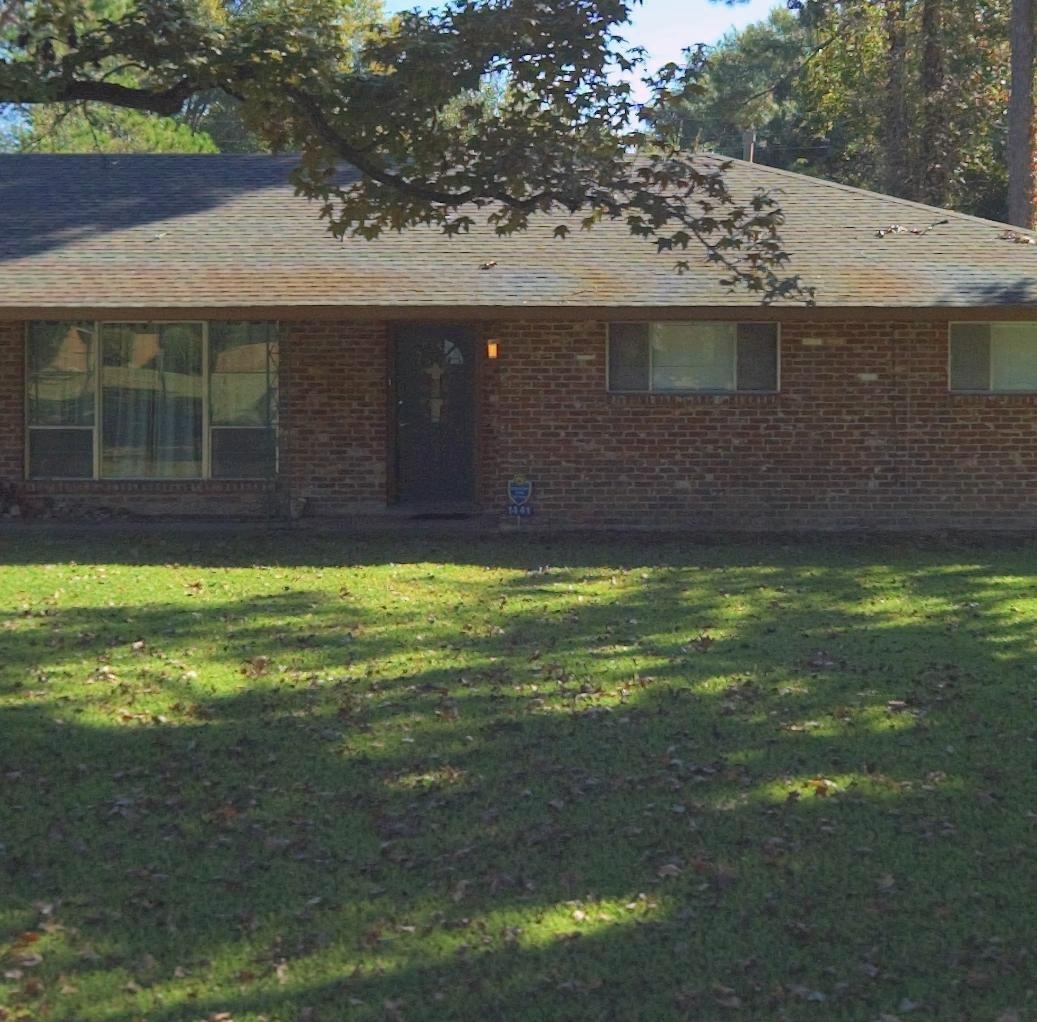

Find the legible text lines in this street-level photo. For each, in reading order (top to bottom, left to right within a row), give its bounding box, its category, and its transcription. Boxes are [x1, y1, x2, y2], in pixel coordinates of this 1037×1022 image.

[506, 504, 532, 516] StreetNumber: 1441